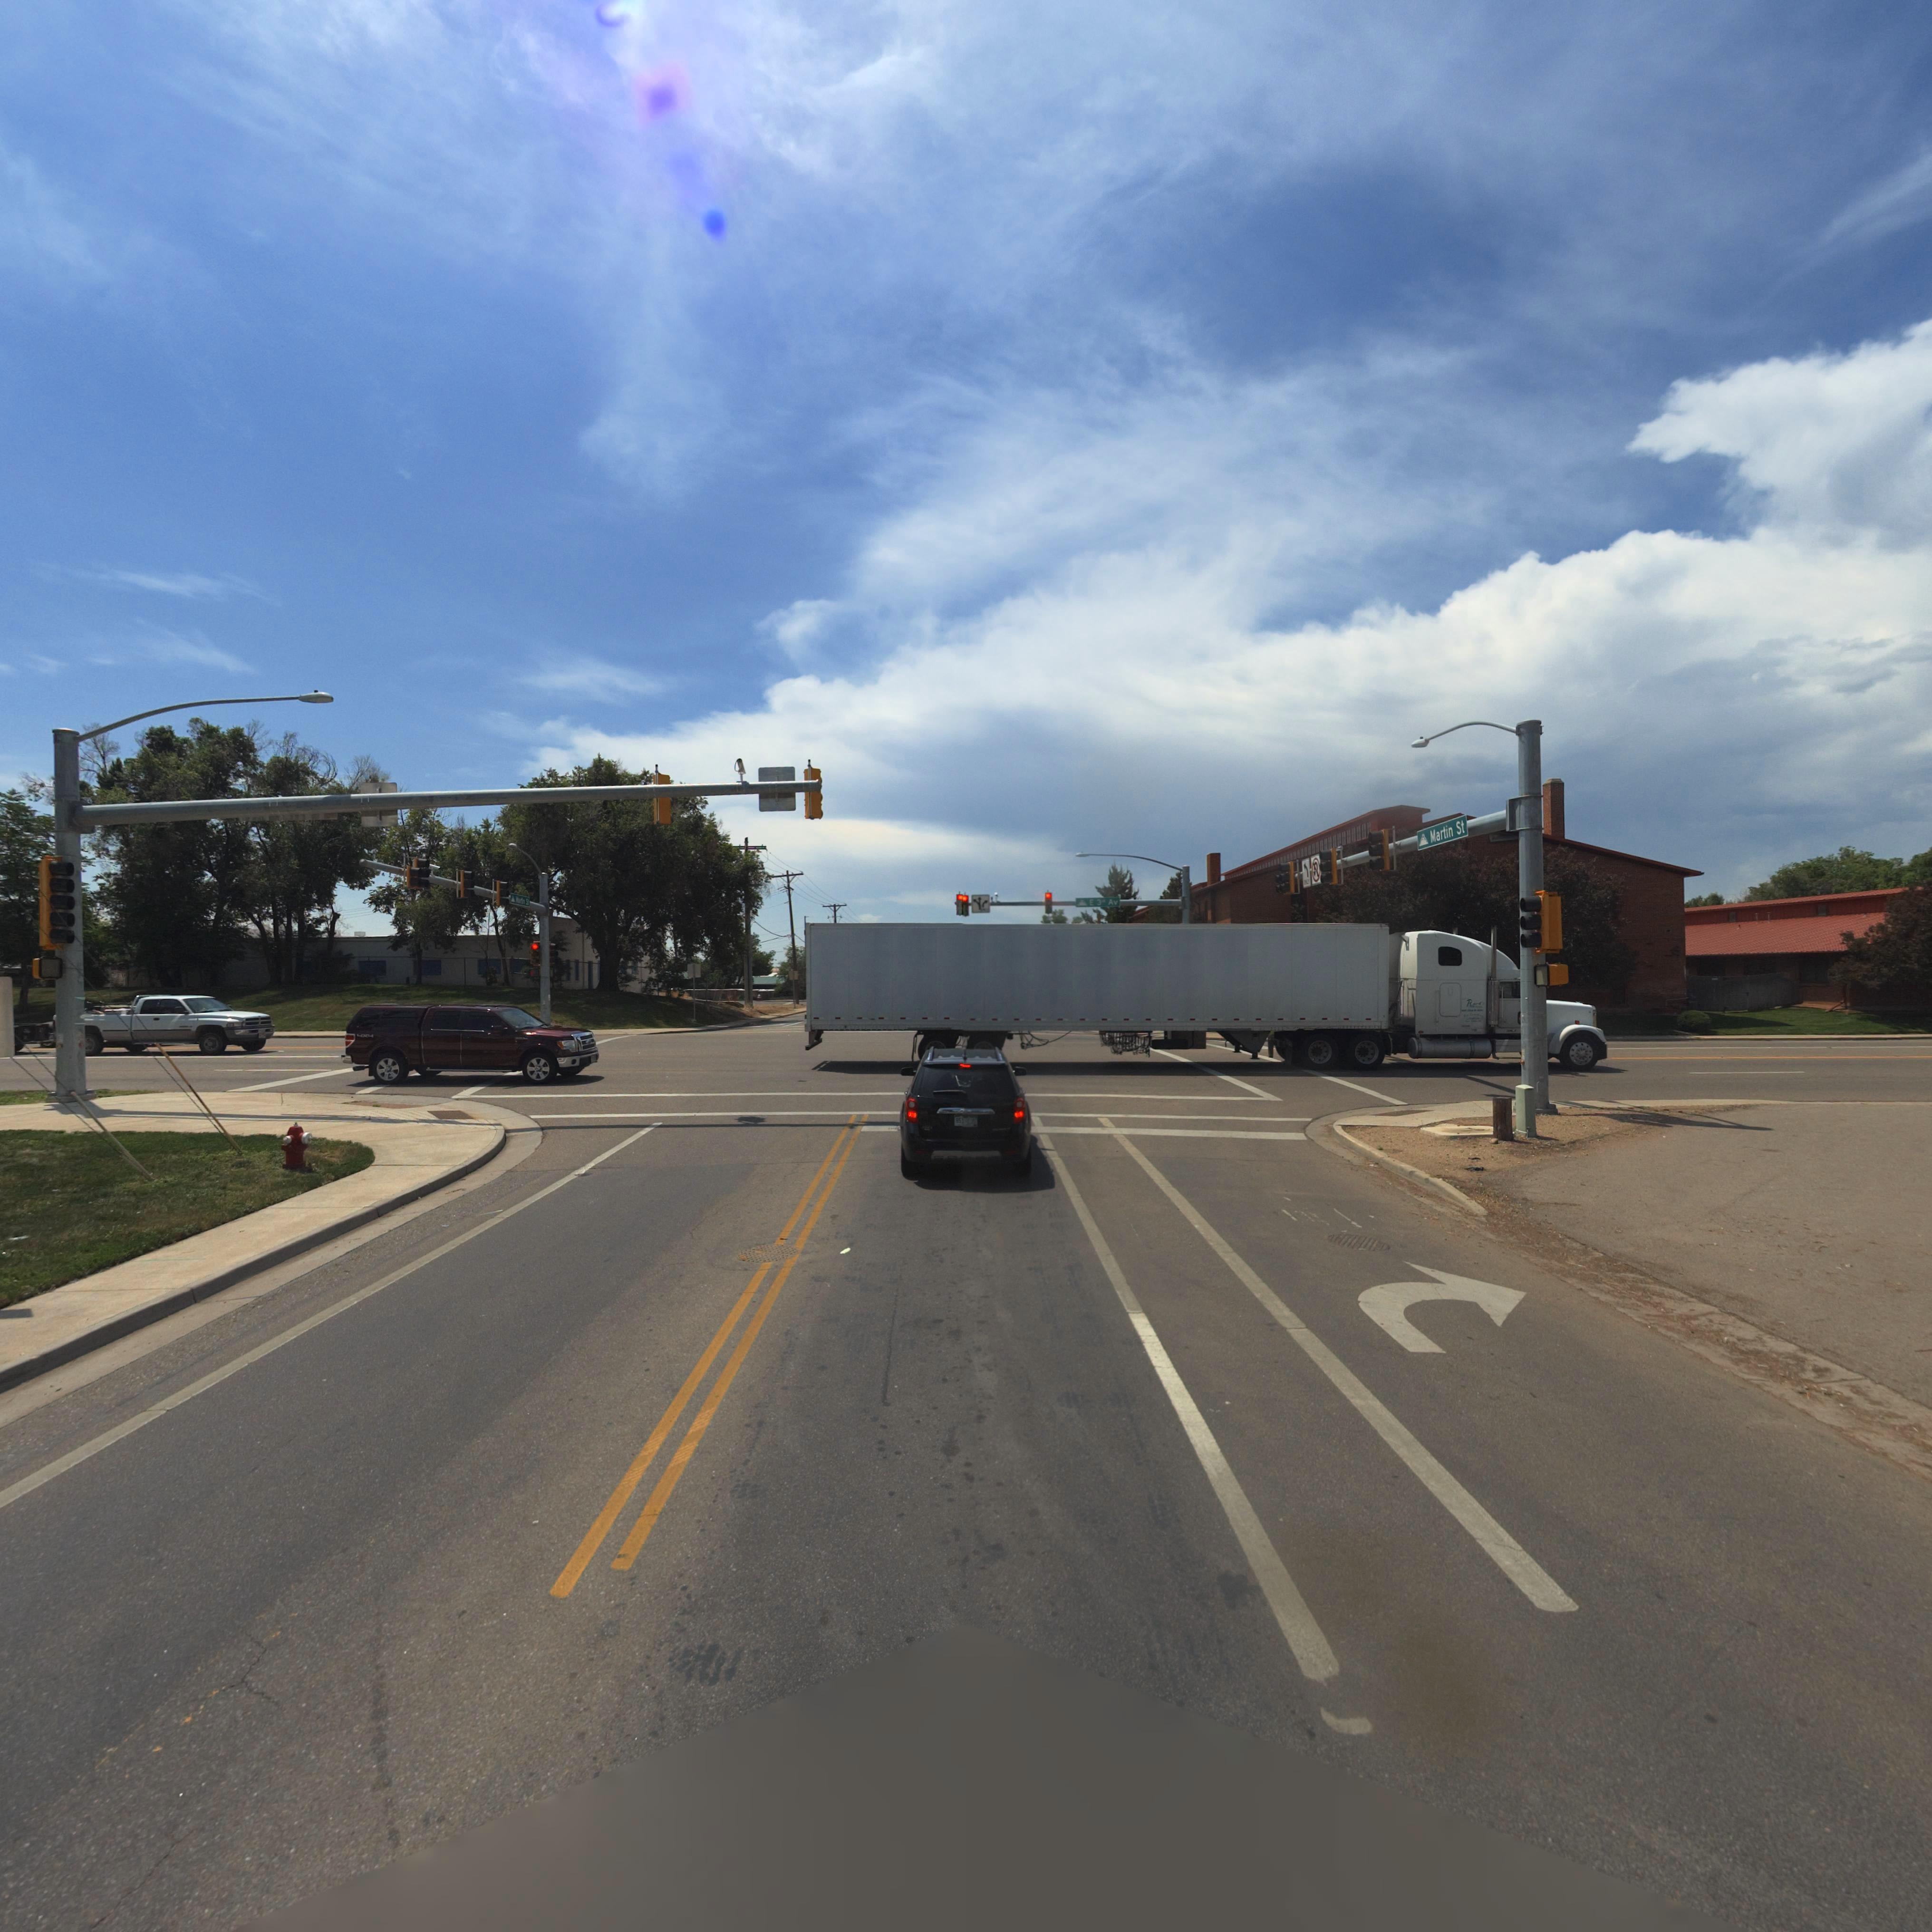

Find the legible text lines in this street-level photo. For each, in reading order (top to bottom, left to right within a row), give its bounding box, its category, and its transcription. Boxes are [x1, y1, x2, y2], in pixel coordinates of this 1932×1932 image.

[1430, 820, 1465, 843] StreetName: Martin St
[515, 896, 529, 905] StreetName: *ar**n S*
[1089, 898, 1118, 906] StreetName: E 3** Av